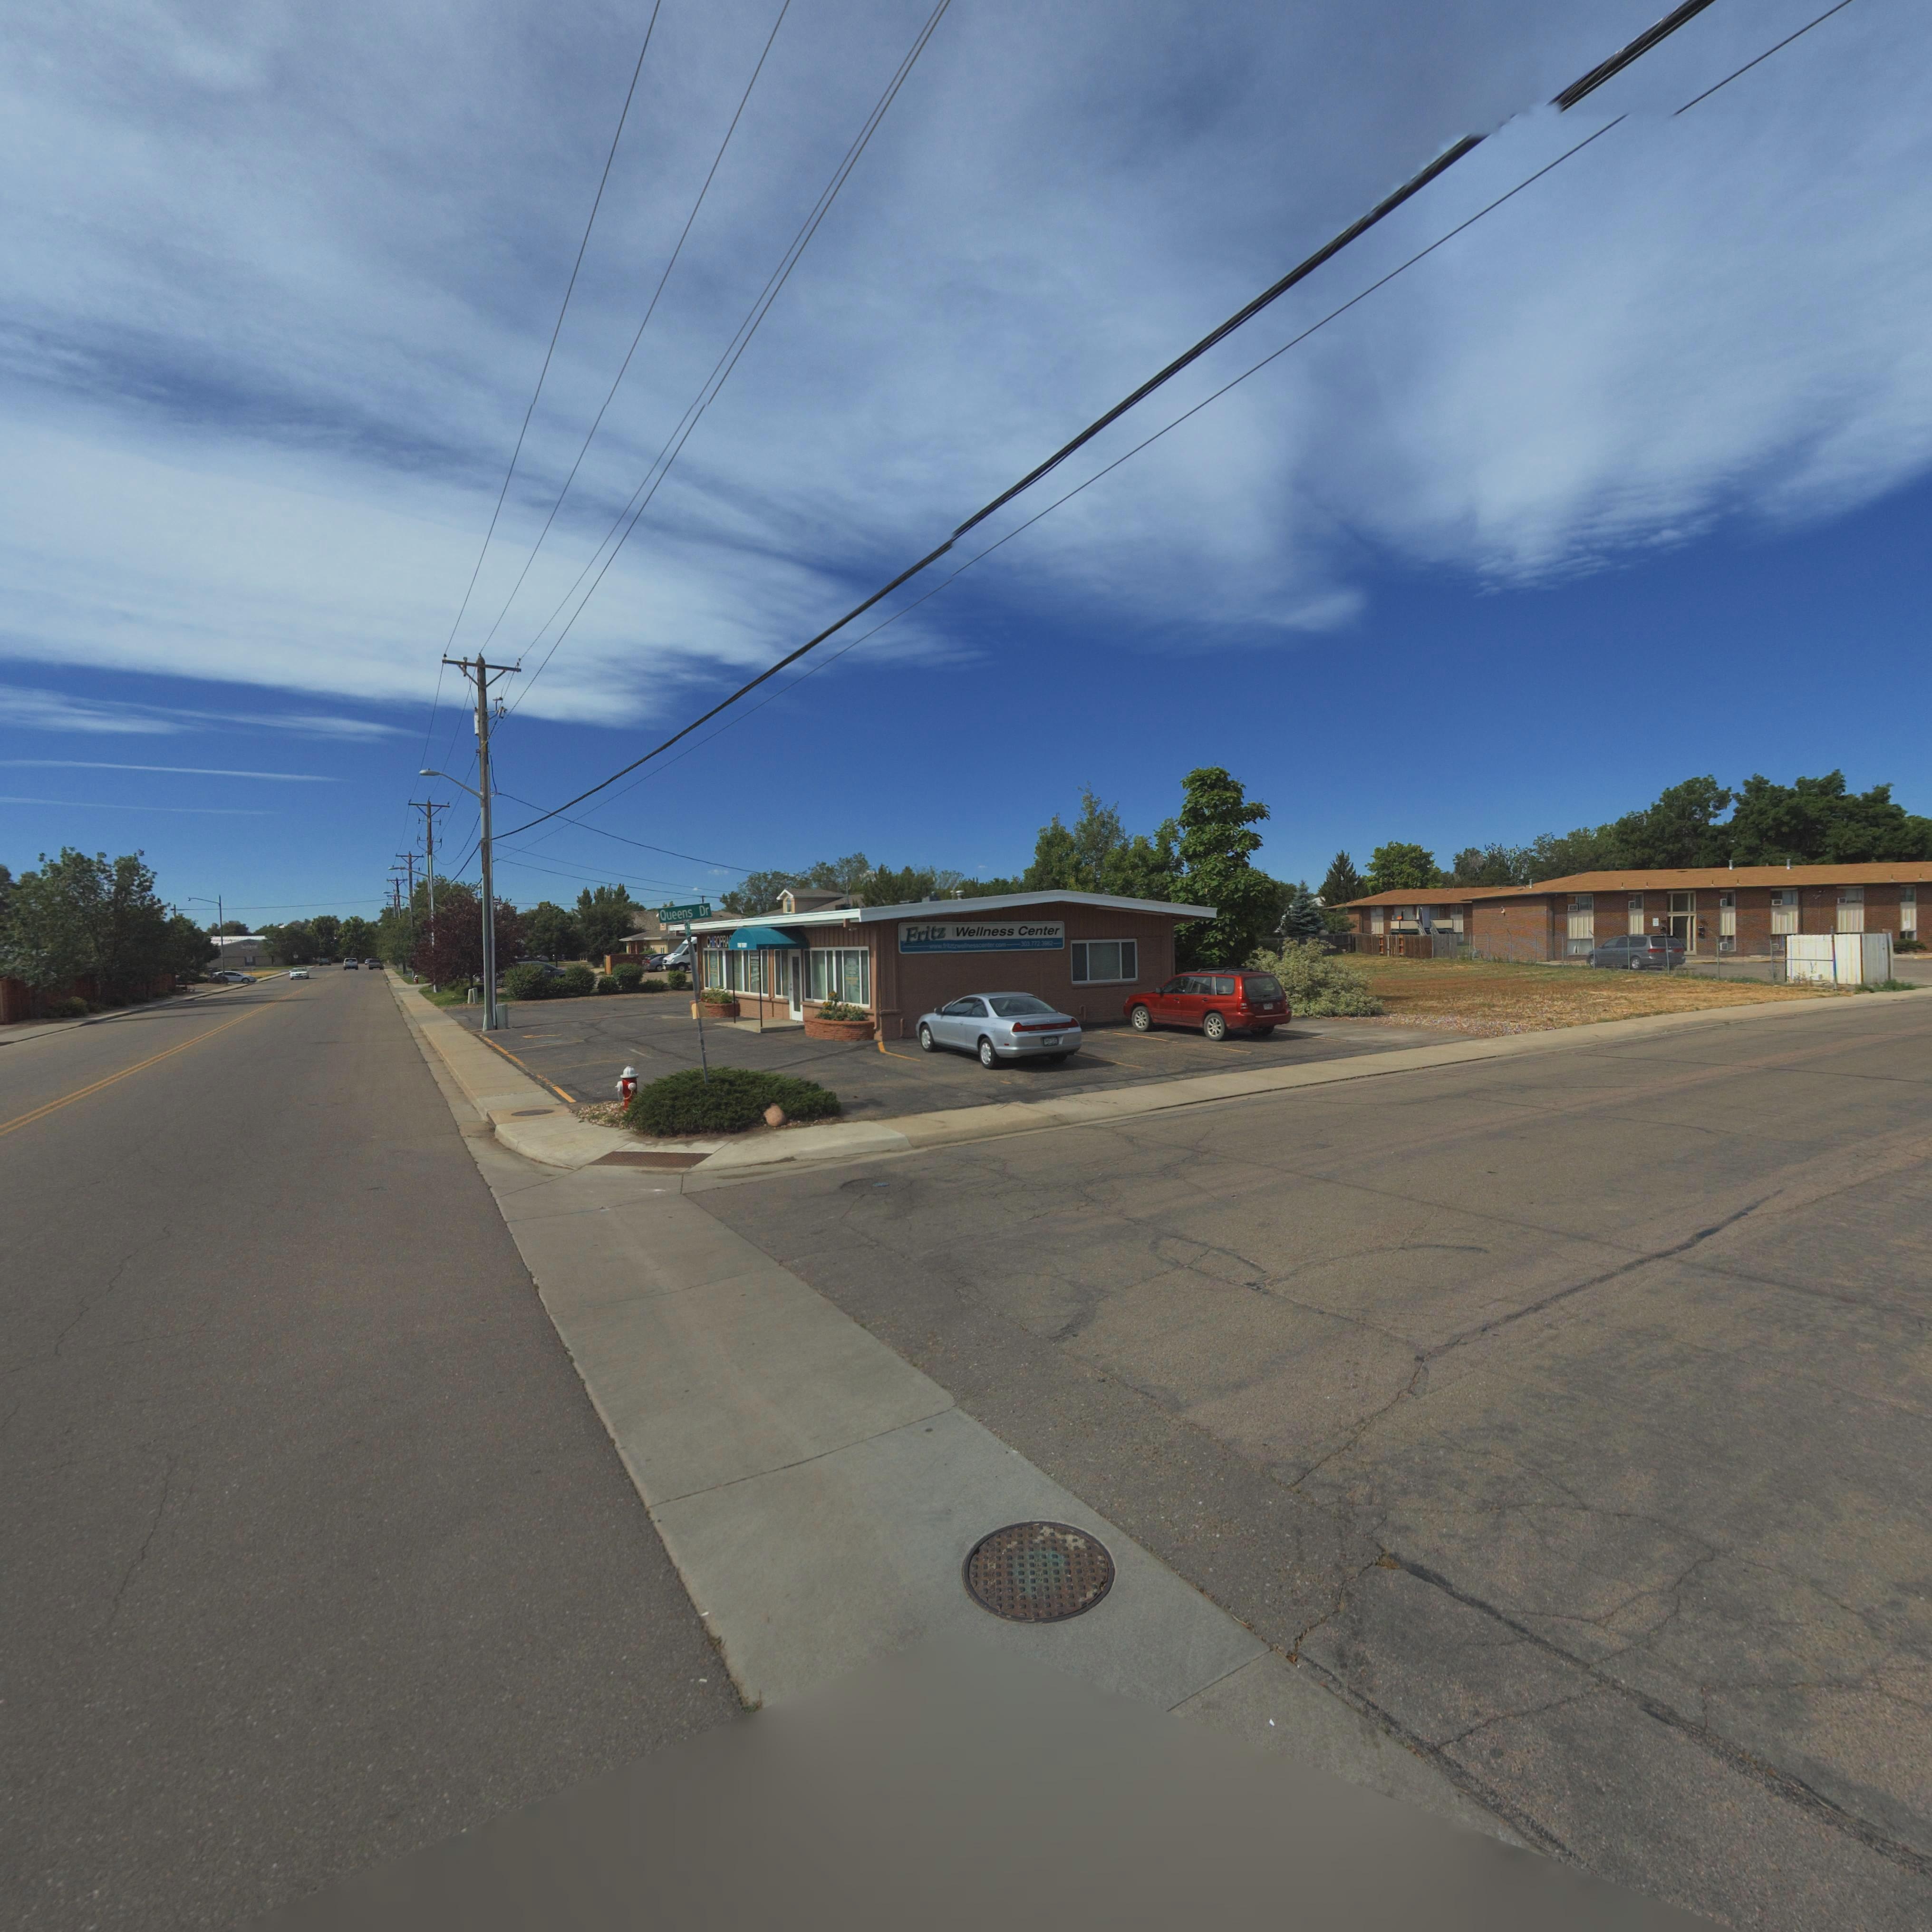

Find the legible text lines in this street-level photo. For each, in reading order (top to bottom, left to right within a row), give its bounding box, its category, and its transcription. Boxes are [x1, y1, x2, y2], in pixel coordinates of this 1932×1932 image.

[658, 904, 710, 922] StreetName: Queens Dr
[904, 925, 947, 946] BusinessName: Fritz
[955, 926, 1061, 937] BusinessName: Wellness Center